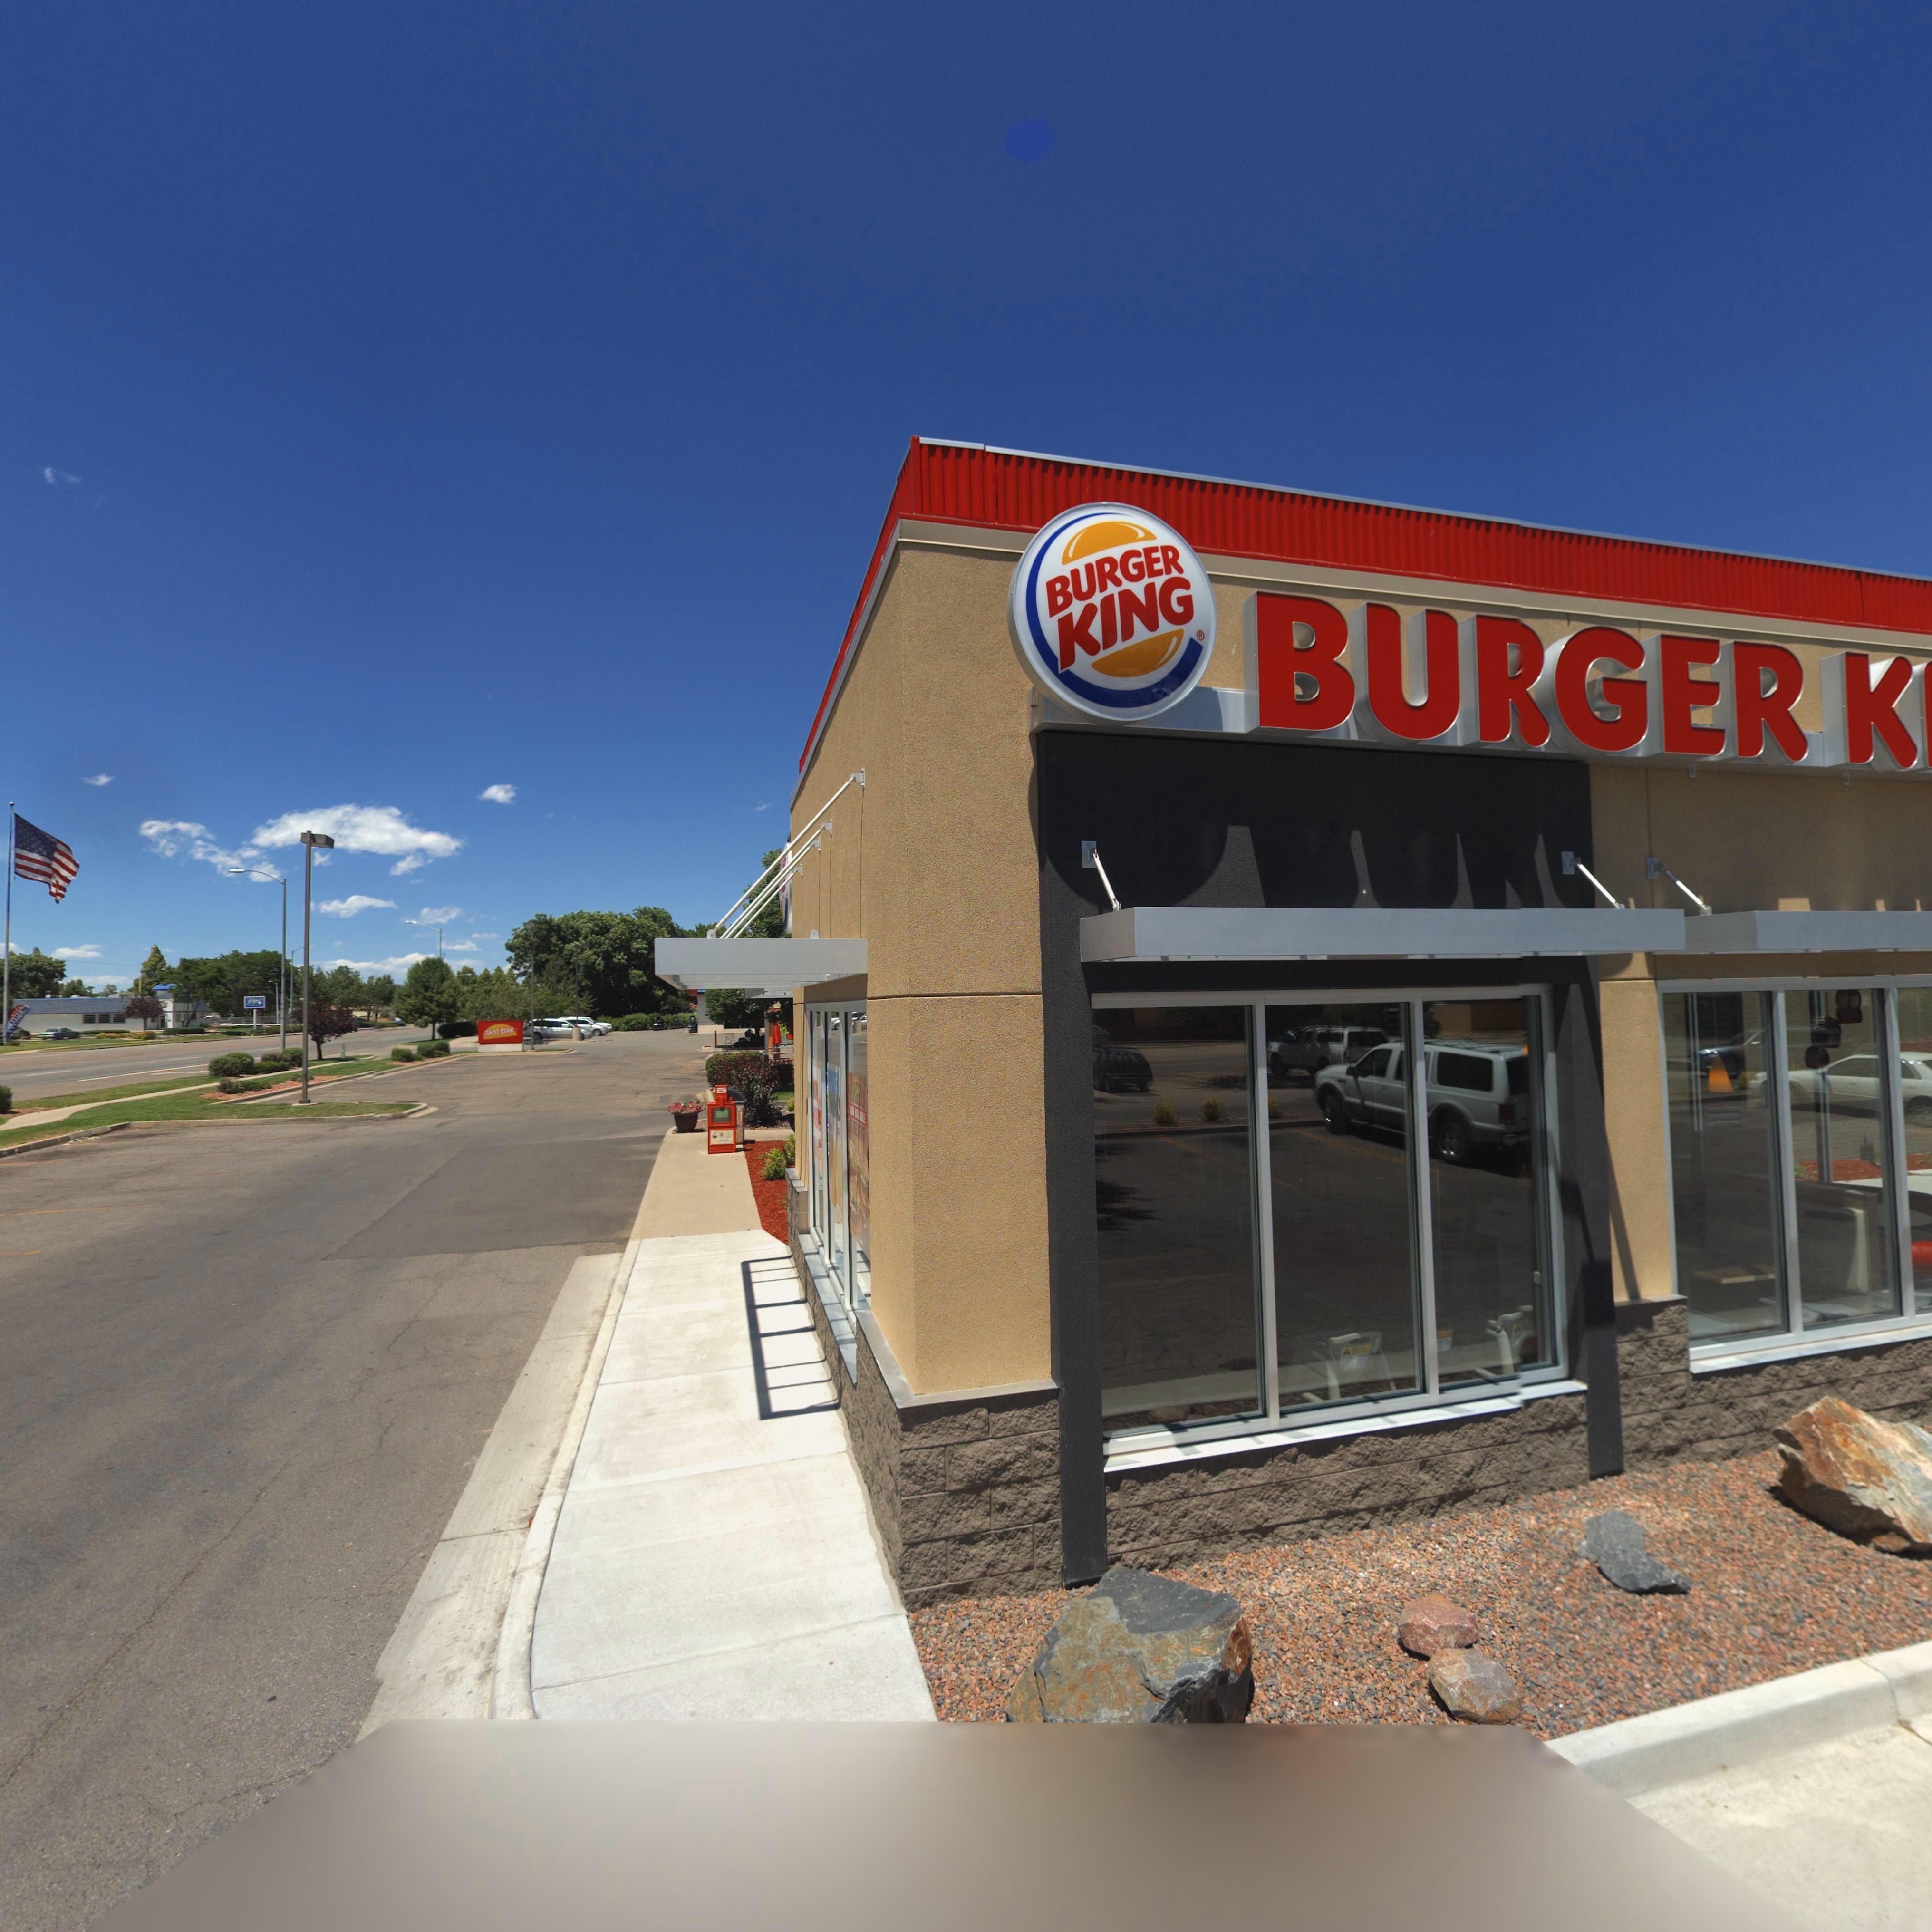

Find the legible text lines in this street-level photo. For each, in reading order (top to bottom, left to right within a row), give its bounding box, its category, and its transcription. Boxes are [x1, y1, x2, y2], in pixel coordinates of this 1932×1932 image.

[1044, 543, 1185, 620] BusinessName: BURGER
[1055, 575, 1198, 674] BusinessName: KING
[1256, 589, 1921, 771] BusinessName: BURGER K
[484, 1026, 514, 1036] BusinessName: TACO STAR